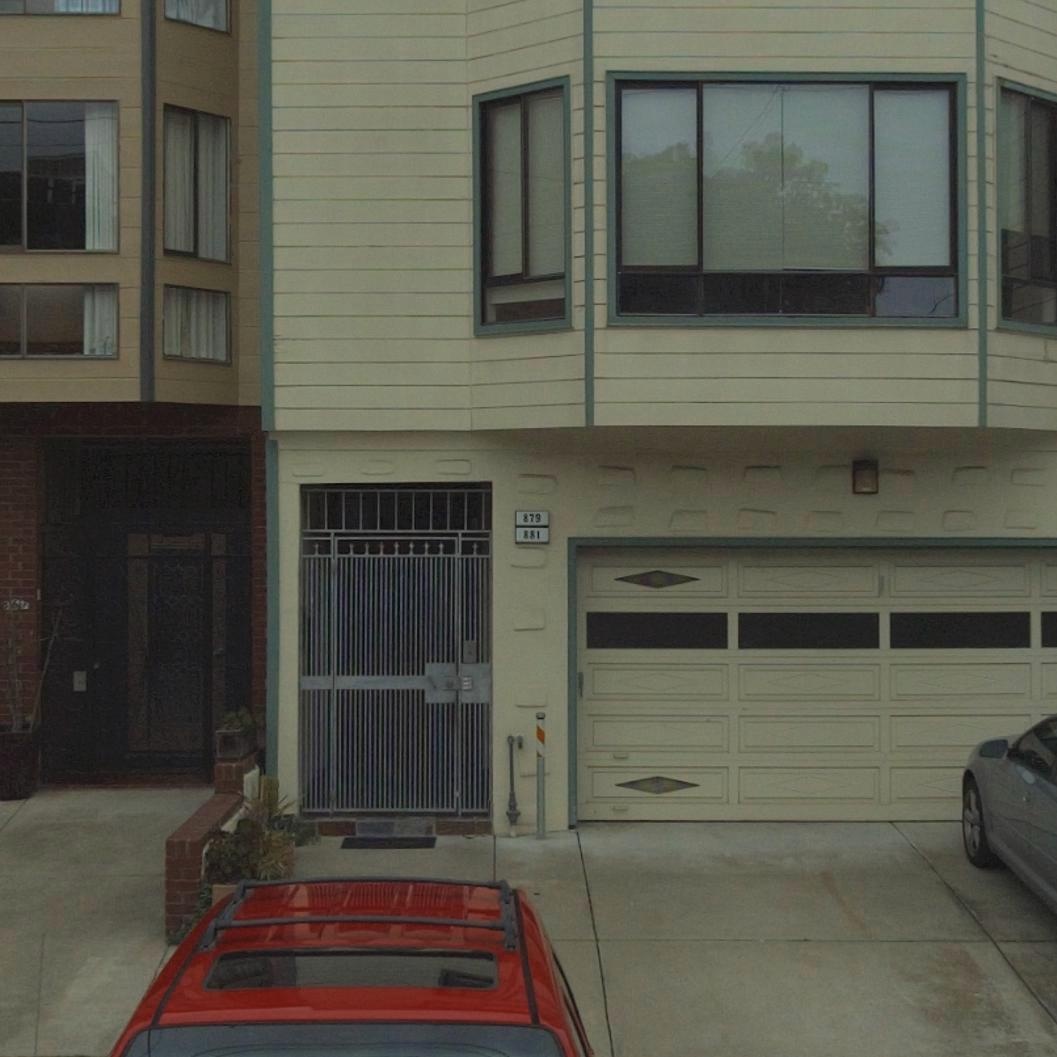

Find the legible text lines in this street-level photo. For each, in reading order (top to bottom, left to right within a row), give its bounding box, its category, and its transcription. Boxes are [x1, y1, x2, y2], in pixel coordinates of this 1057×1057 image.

[522, 512, 541, 523] StreetNumber: 879
[522, 529, 541, 540] StreetNumber: 881
[0, 599, 30, 610] StreetNumber: 867